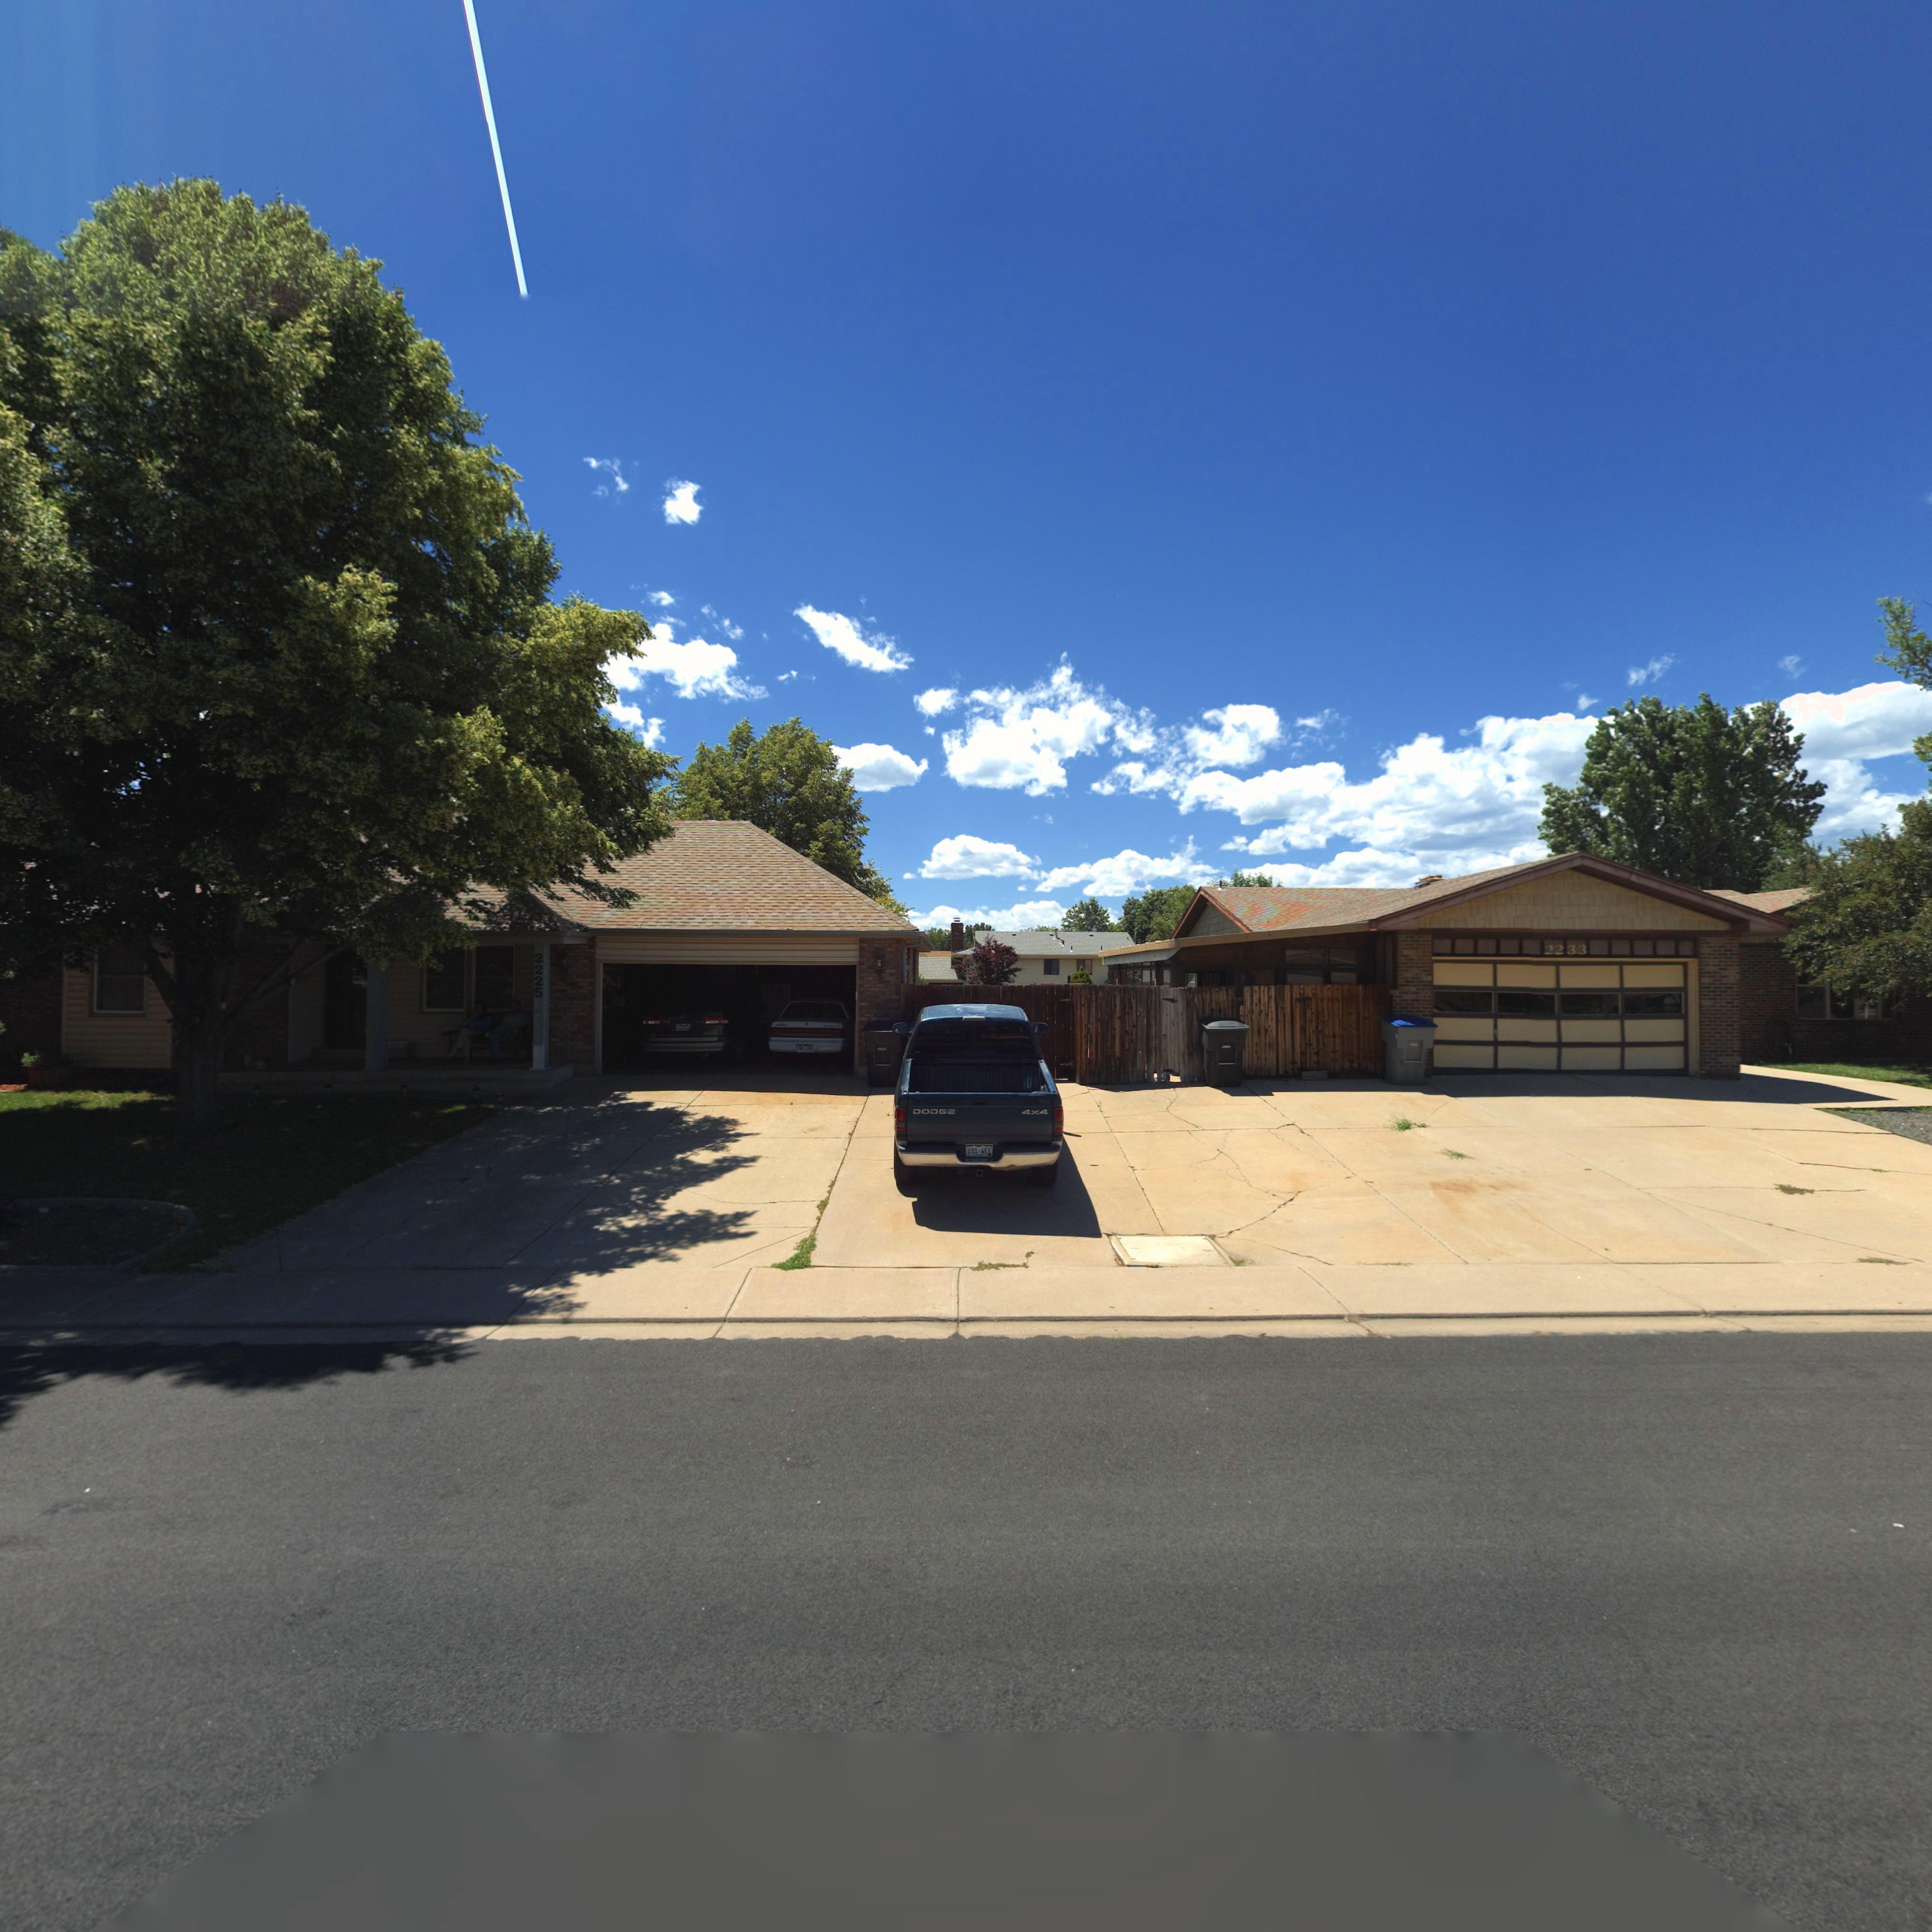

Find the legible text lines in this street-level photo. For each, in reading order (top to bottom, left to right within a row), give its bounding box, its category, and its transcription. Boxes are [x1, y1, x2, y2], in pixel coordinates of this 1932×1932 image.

[1544, 944, 1587, 956] StreetNumber: 2233
[534, 951, 543, 998] StreetNumber: 2225